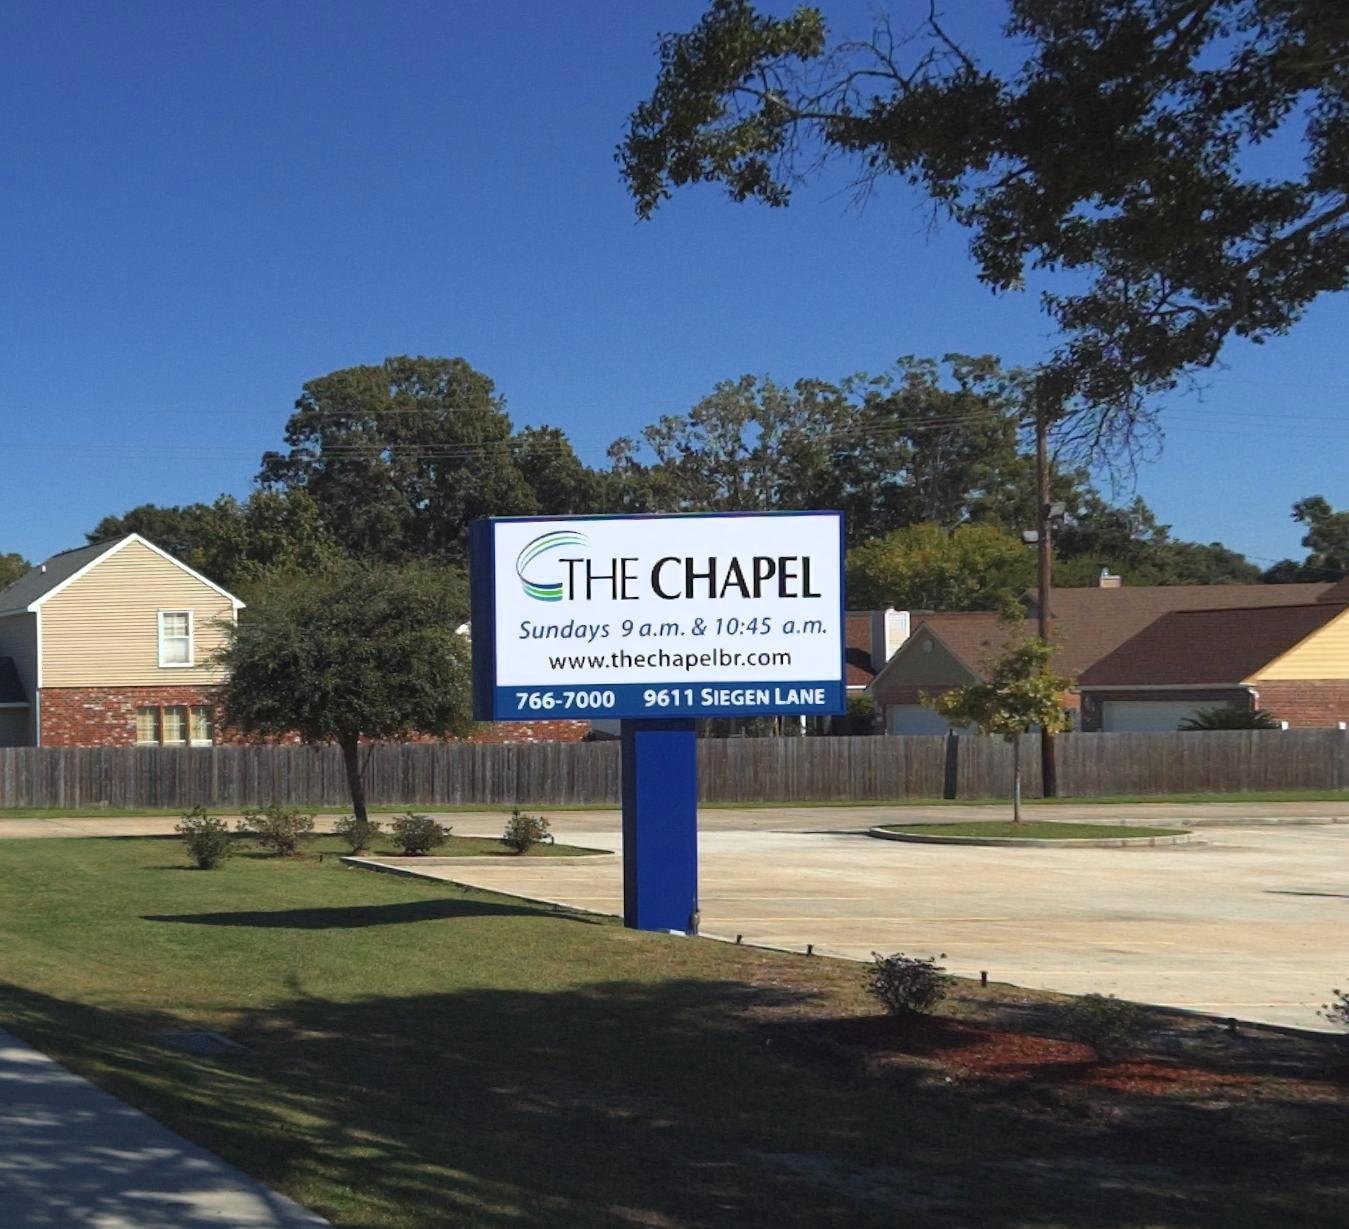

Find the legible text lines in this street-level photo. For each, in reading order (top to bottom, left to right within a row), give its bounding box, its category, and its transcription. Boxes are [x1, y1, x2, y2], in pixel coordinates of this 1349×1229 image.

[557, 555, 823, 601] BusinessName: THE CHAPEL
[518, 615, 828, 643] None: Sundays 9 a.m. & 10:45 a.m.
[548, 648, 792, 672] None: www.thechapelbr.com
[515, 689, 616, 712] None: 766-7000
[641, 687, 695, 709] StreetNumber: 9611
[700, 686, 827, 707] StreetName: SIEGEN LANE